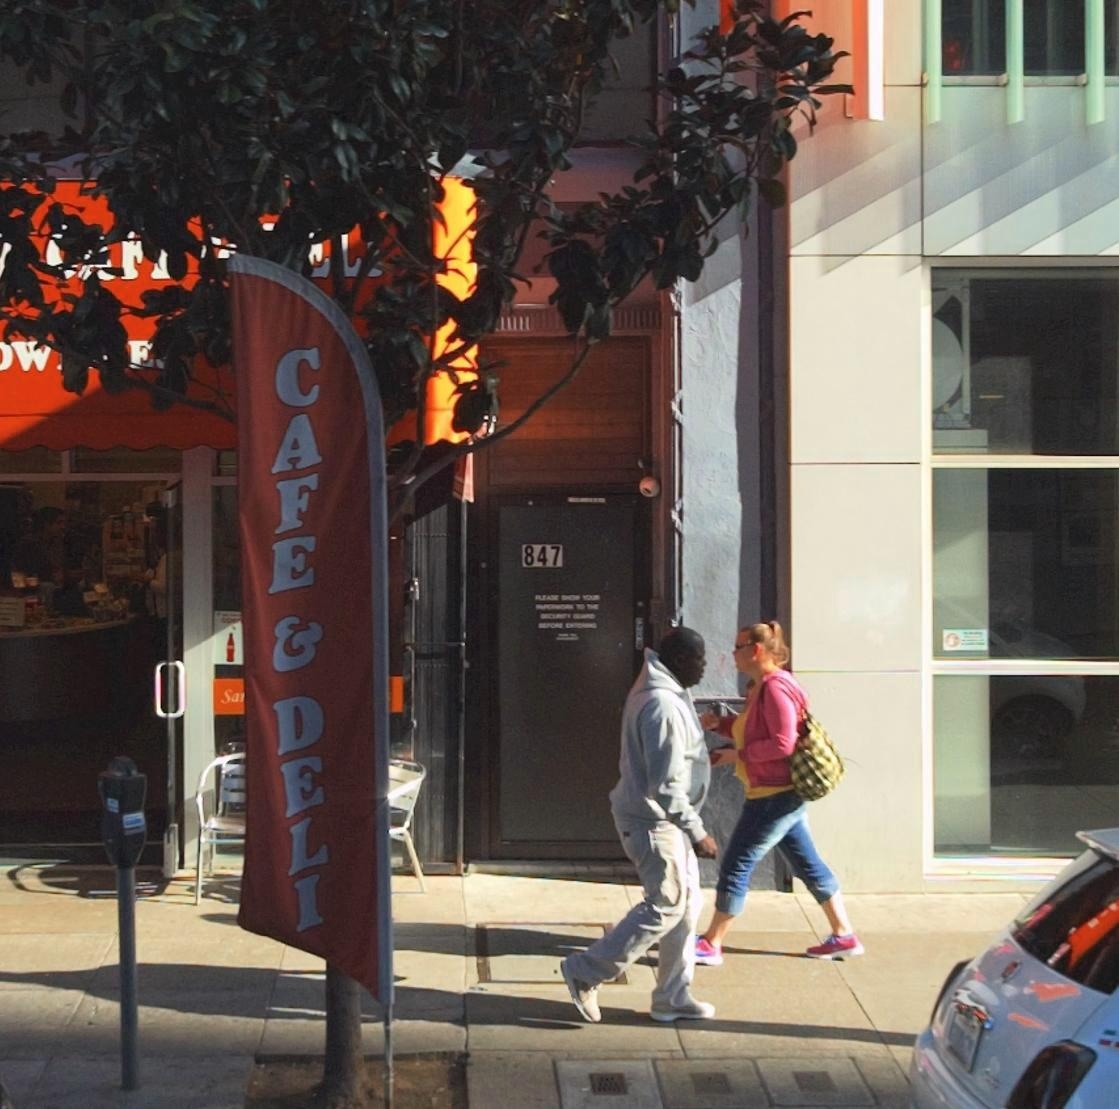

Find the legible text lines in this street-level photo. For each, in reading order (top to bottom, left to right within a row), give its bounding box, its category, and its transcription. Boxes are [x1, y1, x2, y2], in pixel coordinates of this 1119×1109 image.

[522, 544, 563, 567] StreetNumber: 847
[267, 344, 331, 936] None: CAFE & DELI
[219, 687, 241, 705] None: Sa